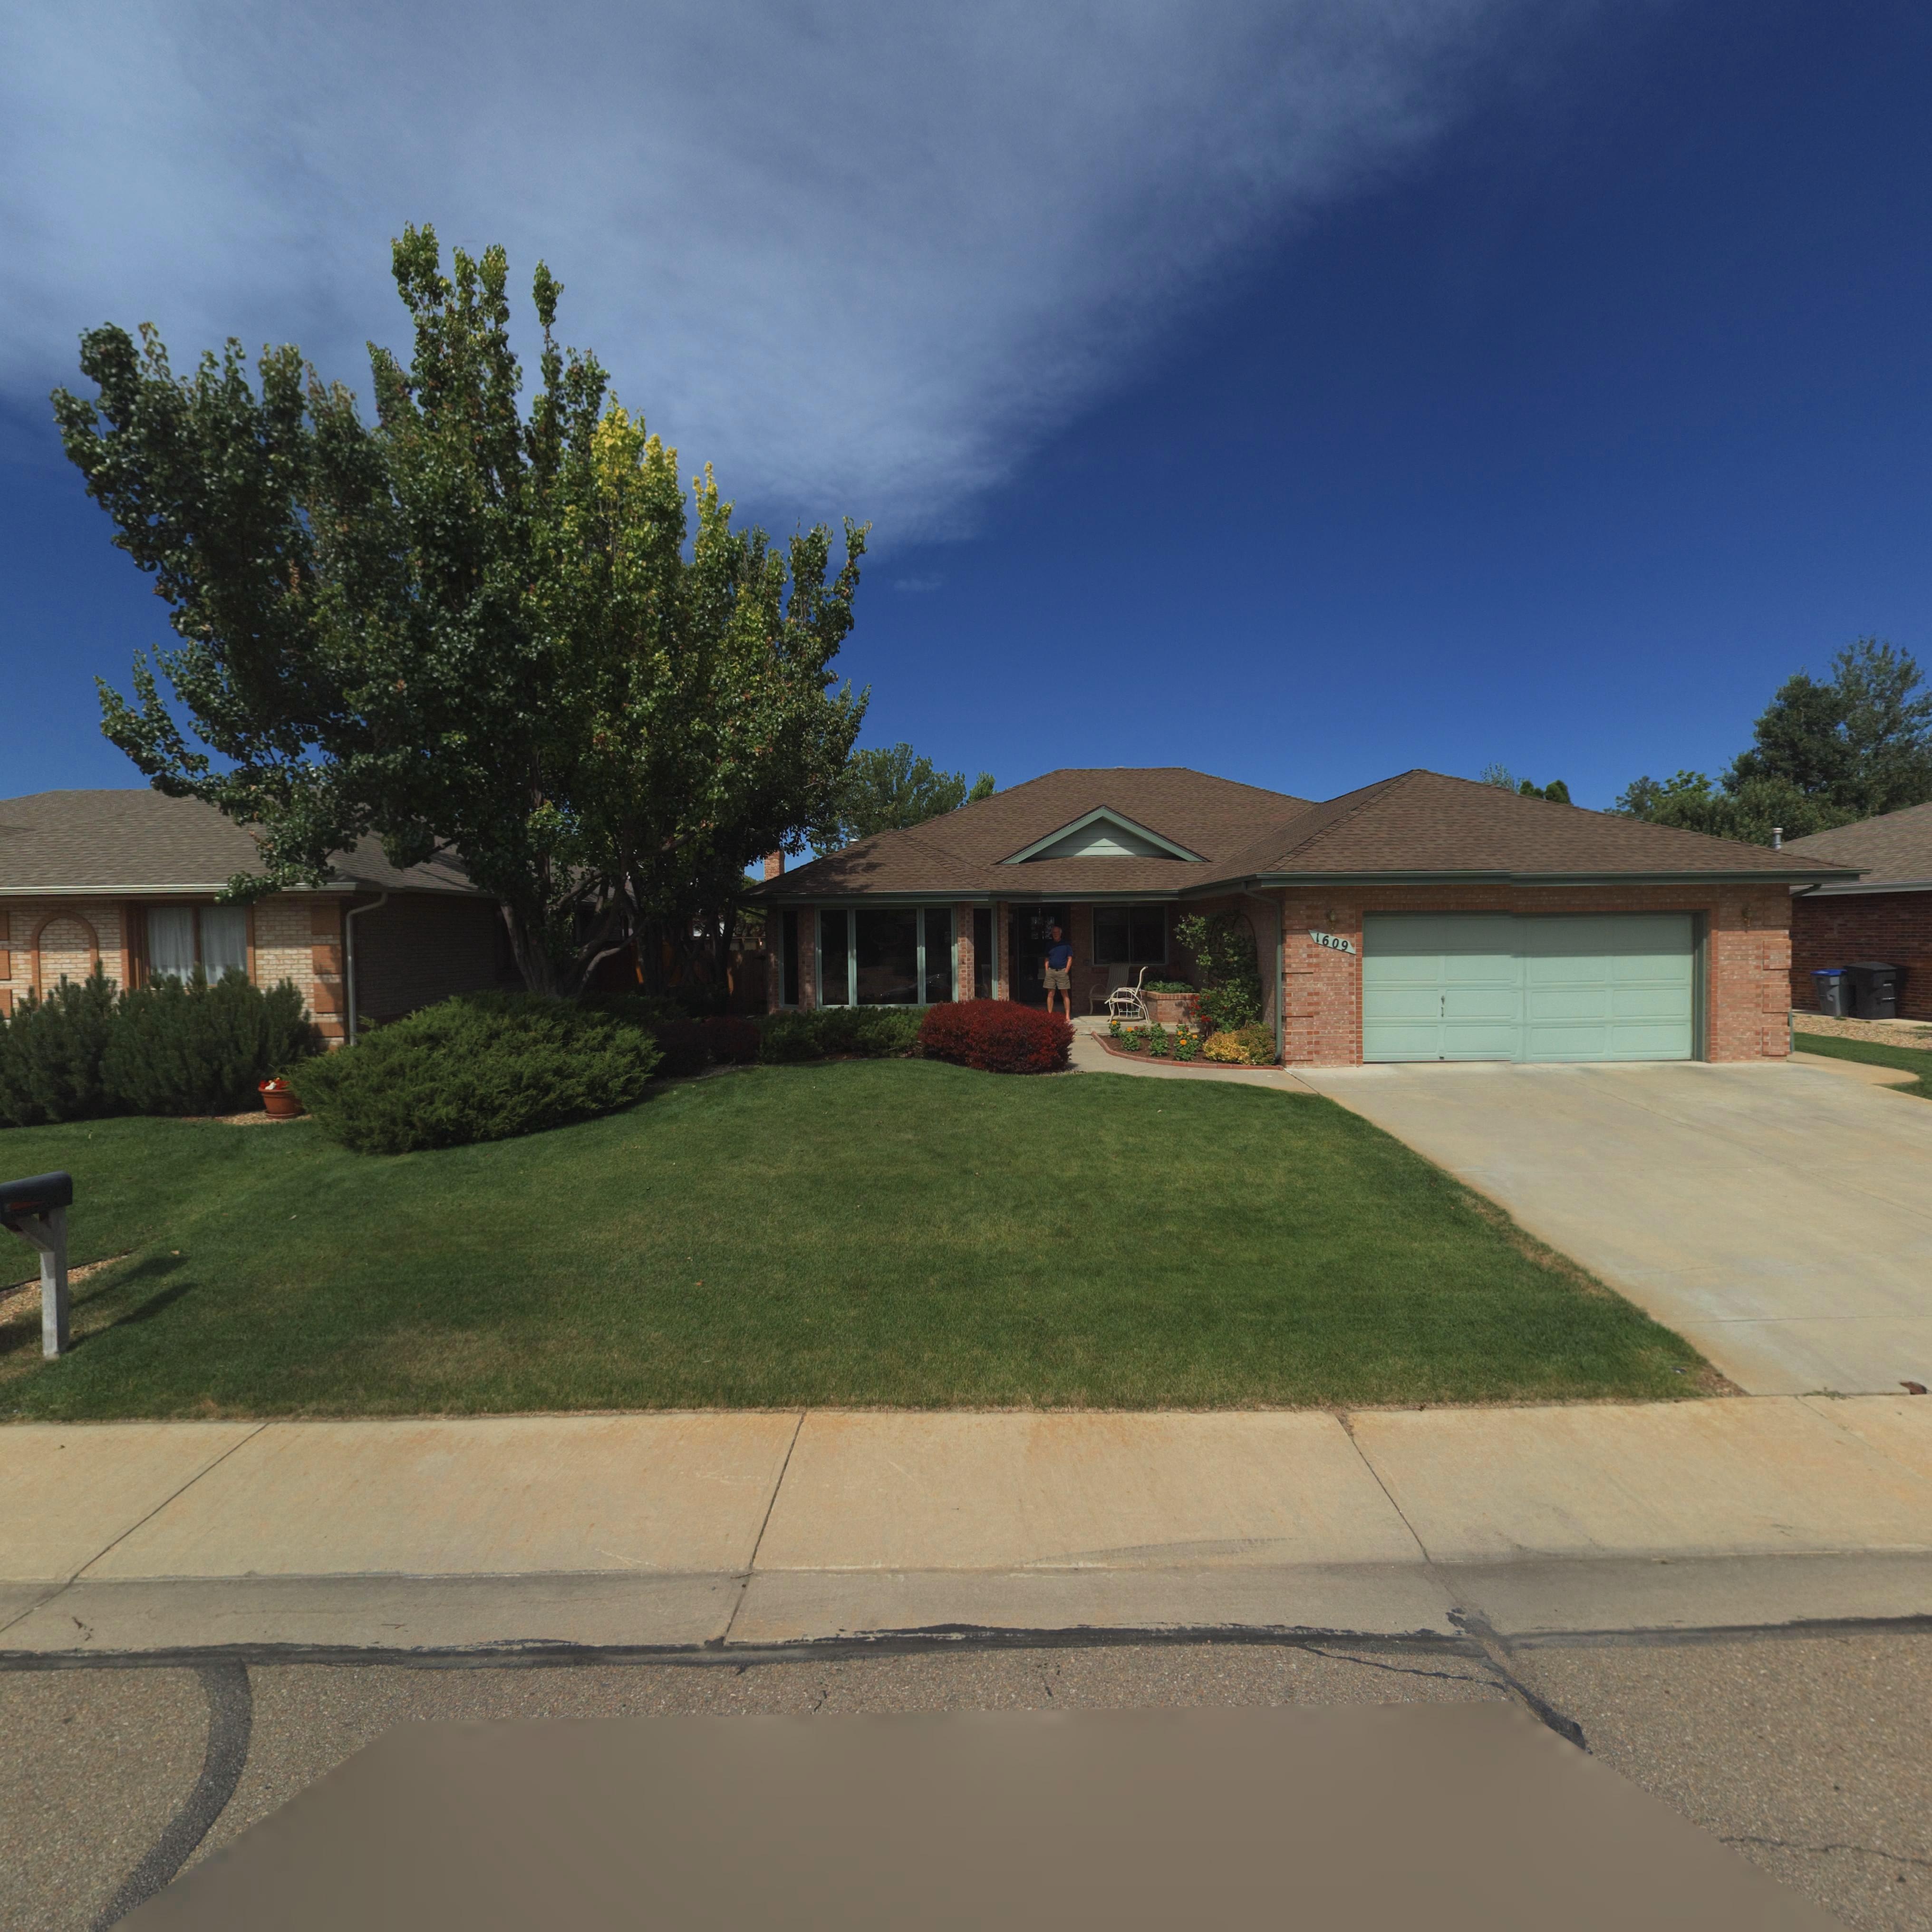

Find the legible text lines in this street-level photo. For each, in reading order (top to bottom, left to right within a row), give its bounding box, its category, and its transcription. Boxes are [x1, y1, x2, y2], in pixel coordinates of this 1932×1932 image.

[1315, 932, 1348, 951] StreetNumber: 1609